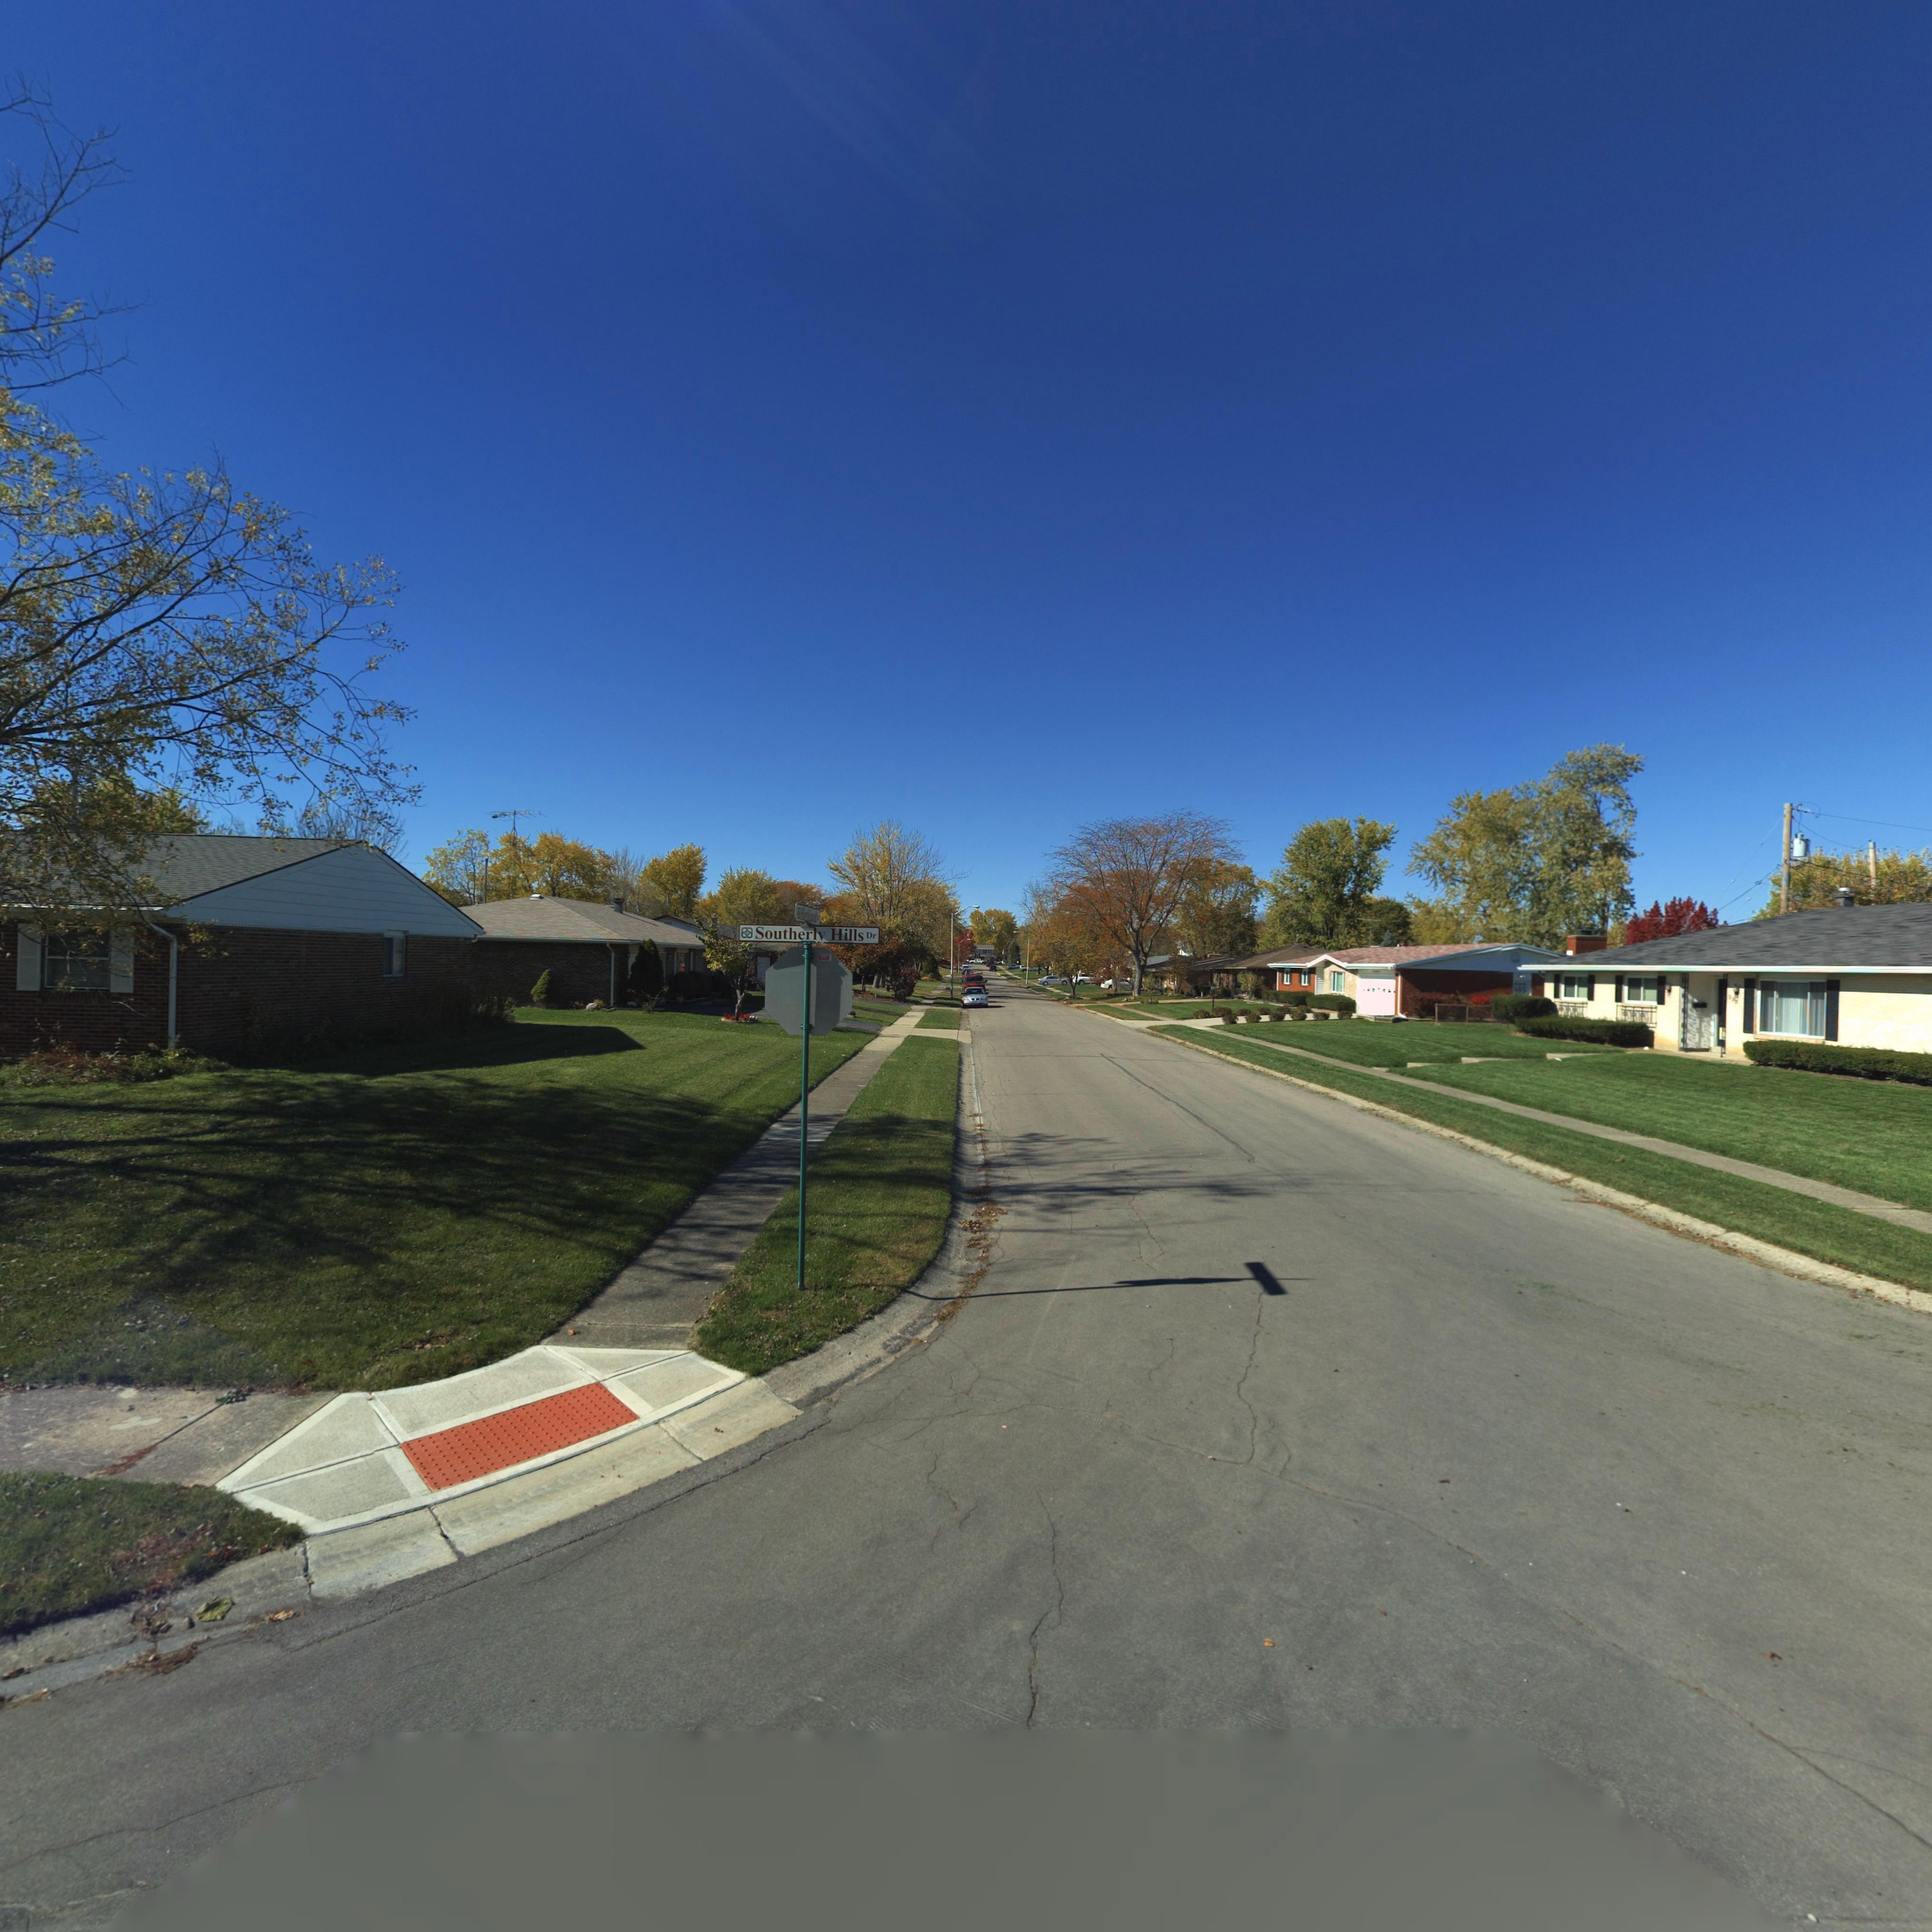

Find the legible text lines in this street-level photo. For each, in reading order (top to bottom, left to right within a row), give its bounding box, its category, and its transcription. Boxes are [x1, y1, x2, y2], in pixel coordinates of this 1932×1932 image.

[800, 906, 817, 924] StreetName: Highland
[754, 926, 878, 945] StreetName: Southerly Hills Dr
[1728, 994, 1738, 1005] StreetNumber: 3**